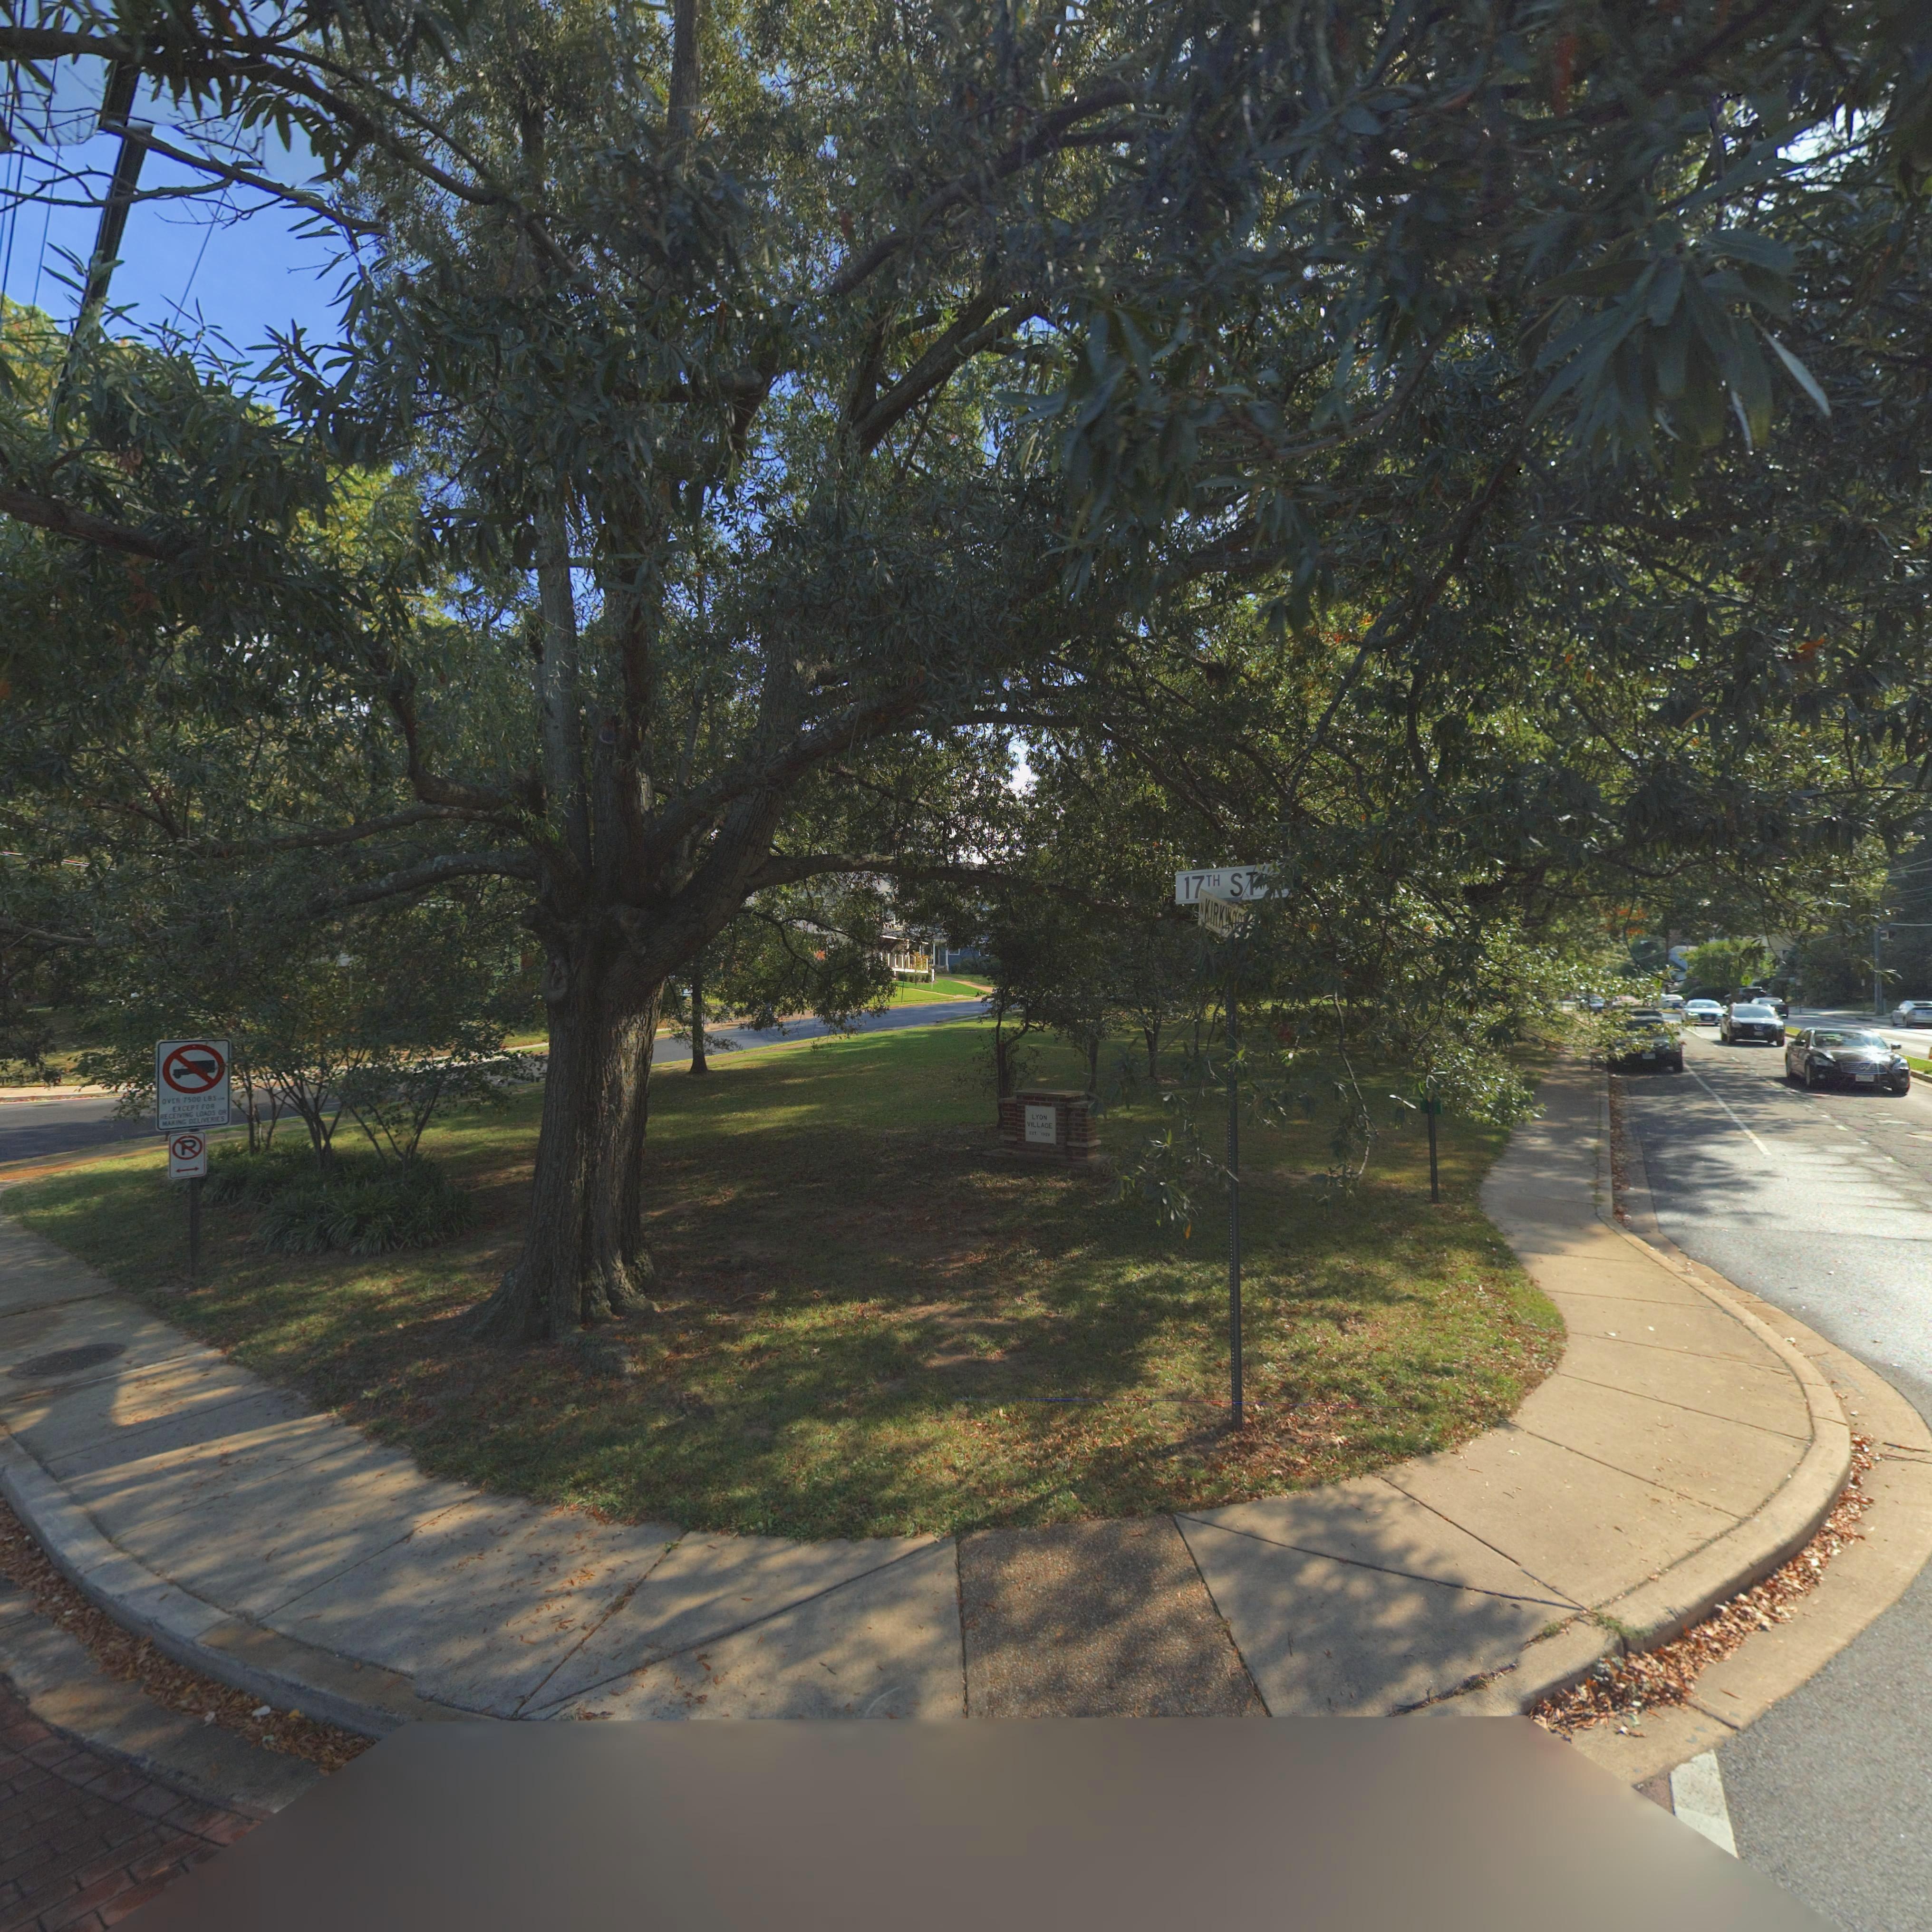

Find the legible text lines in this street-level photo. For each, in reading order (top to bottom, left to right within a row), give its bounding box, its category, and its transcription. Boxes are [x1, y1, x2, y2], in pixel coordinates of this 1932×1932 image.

[1183, 869, 1260, 901] StreetName: 17TH ST
[1198, 896, 1226, 932] StreetName: N KIRK
[1031, 1112, 1048, 1121] None: LYON
[1025, 1120, 1053, 1130] None: VILLAGE